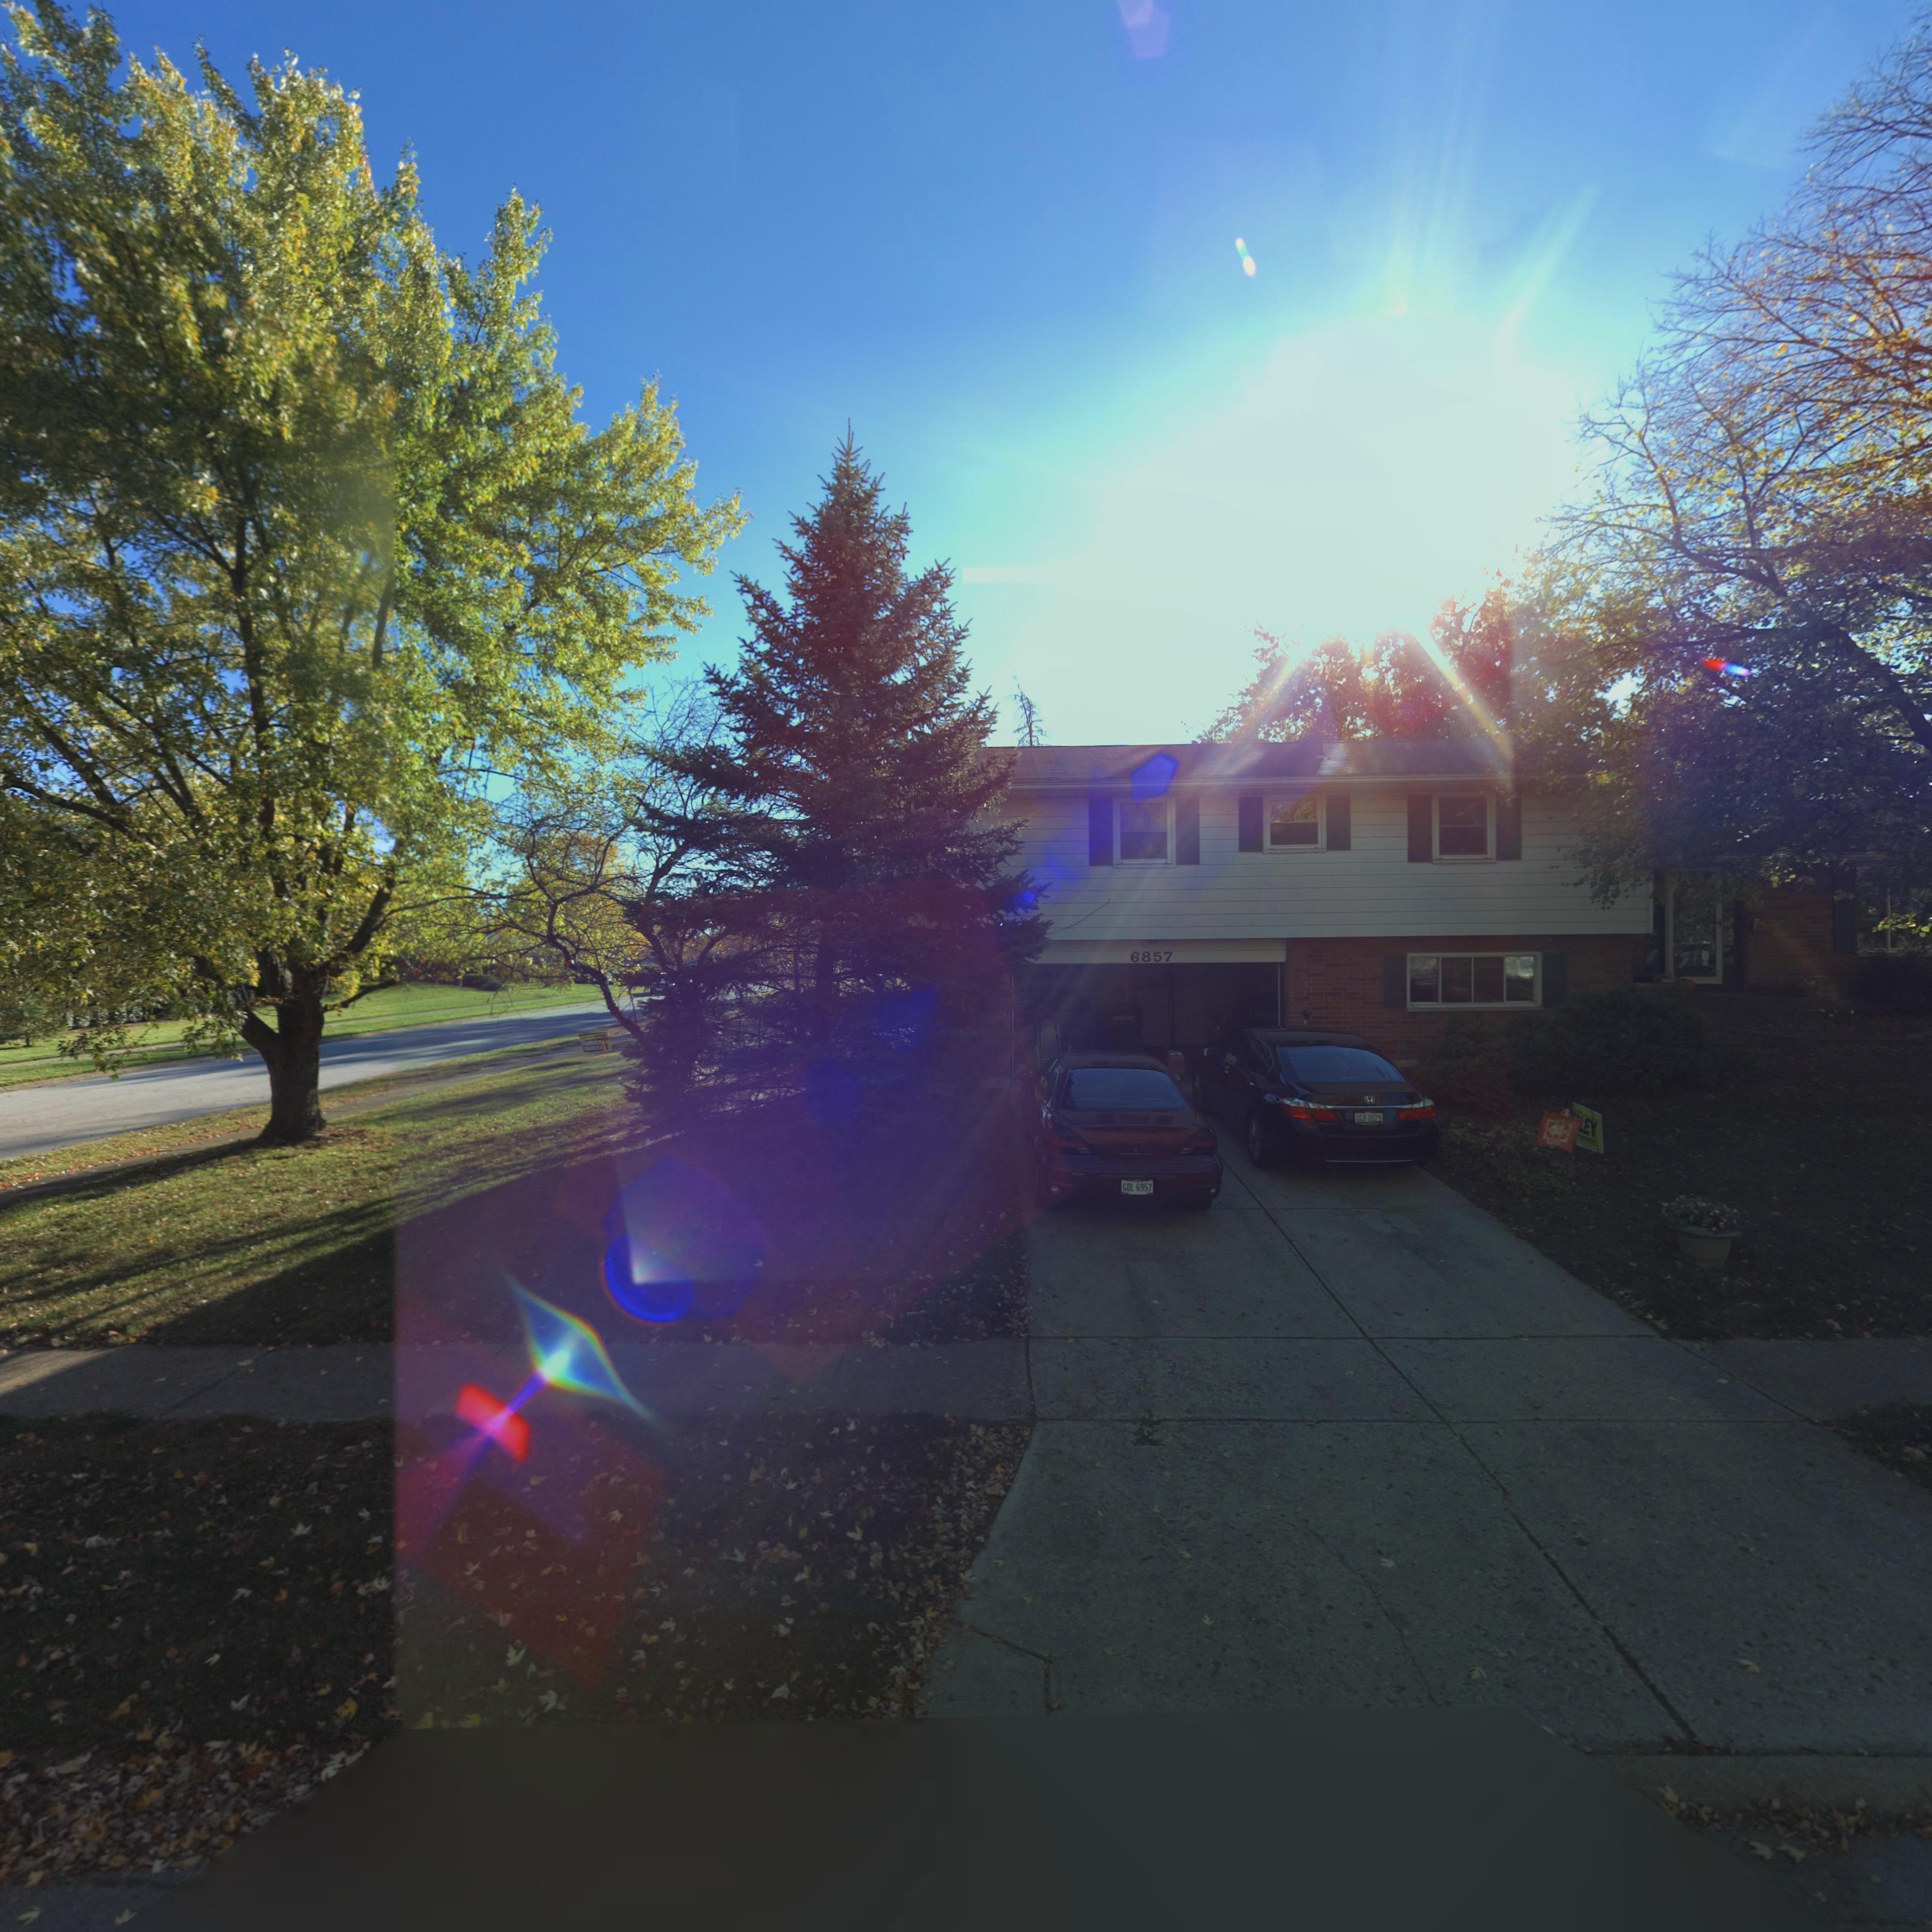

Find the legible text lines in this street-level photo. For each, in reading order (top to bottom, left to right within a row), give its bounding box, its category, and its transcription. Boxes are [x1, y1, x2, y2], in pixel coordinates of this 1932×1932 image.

[1129, 951, 1174, 963] StreetNumber: 6857